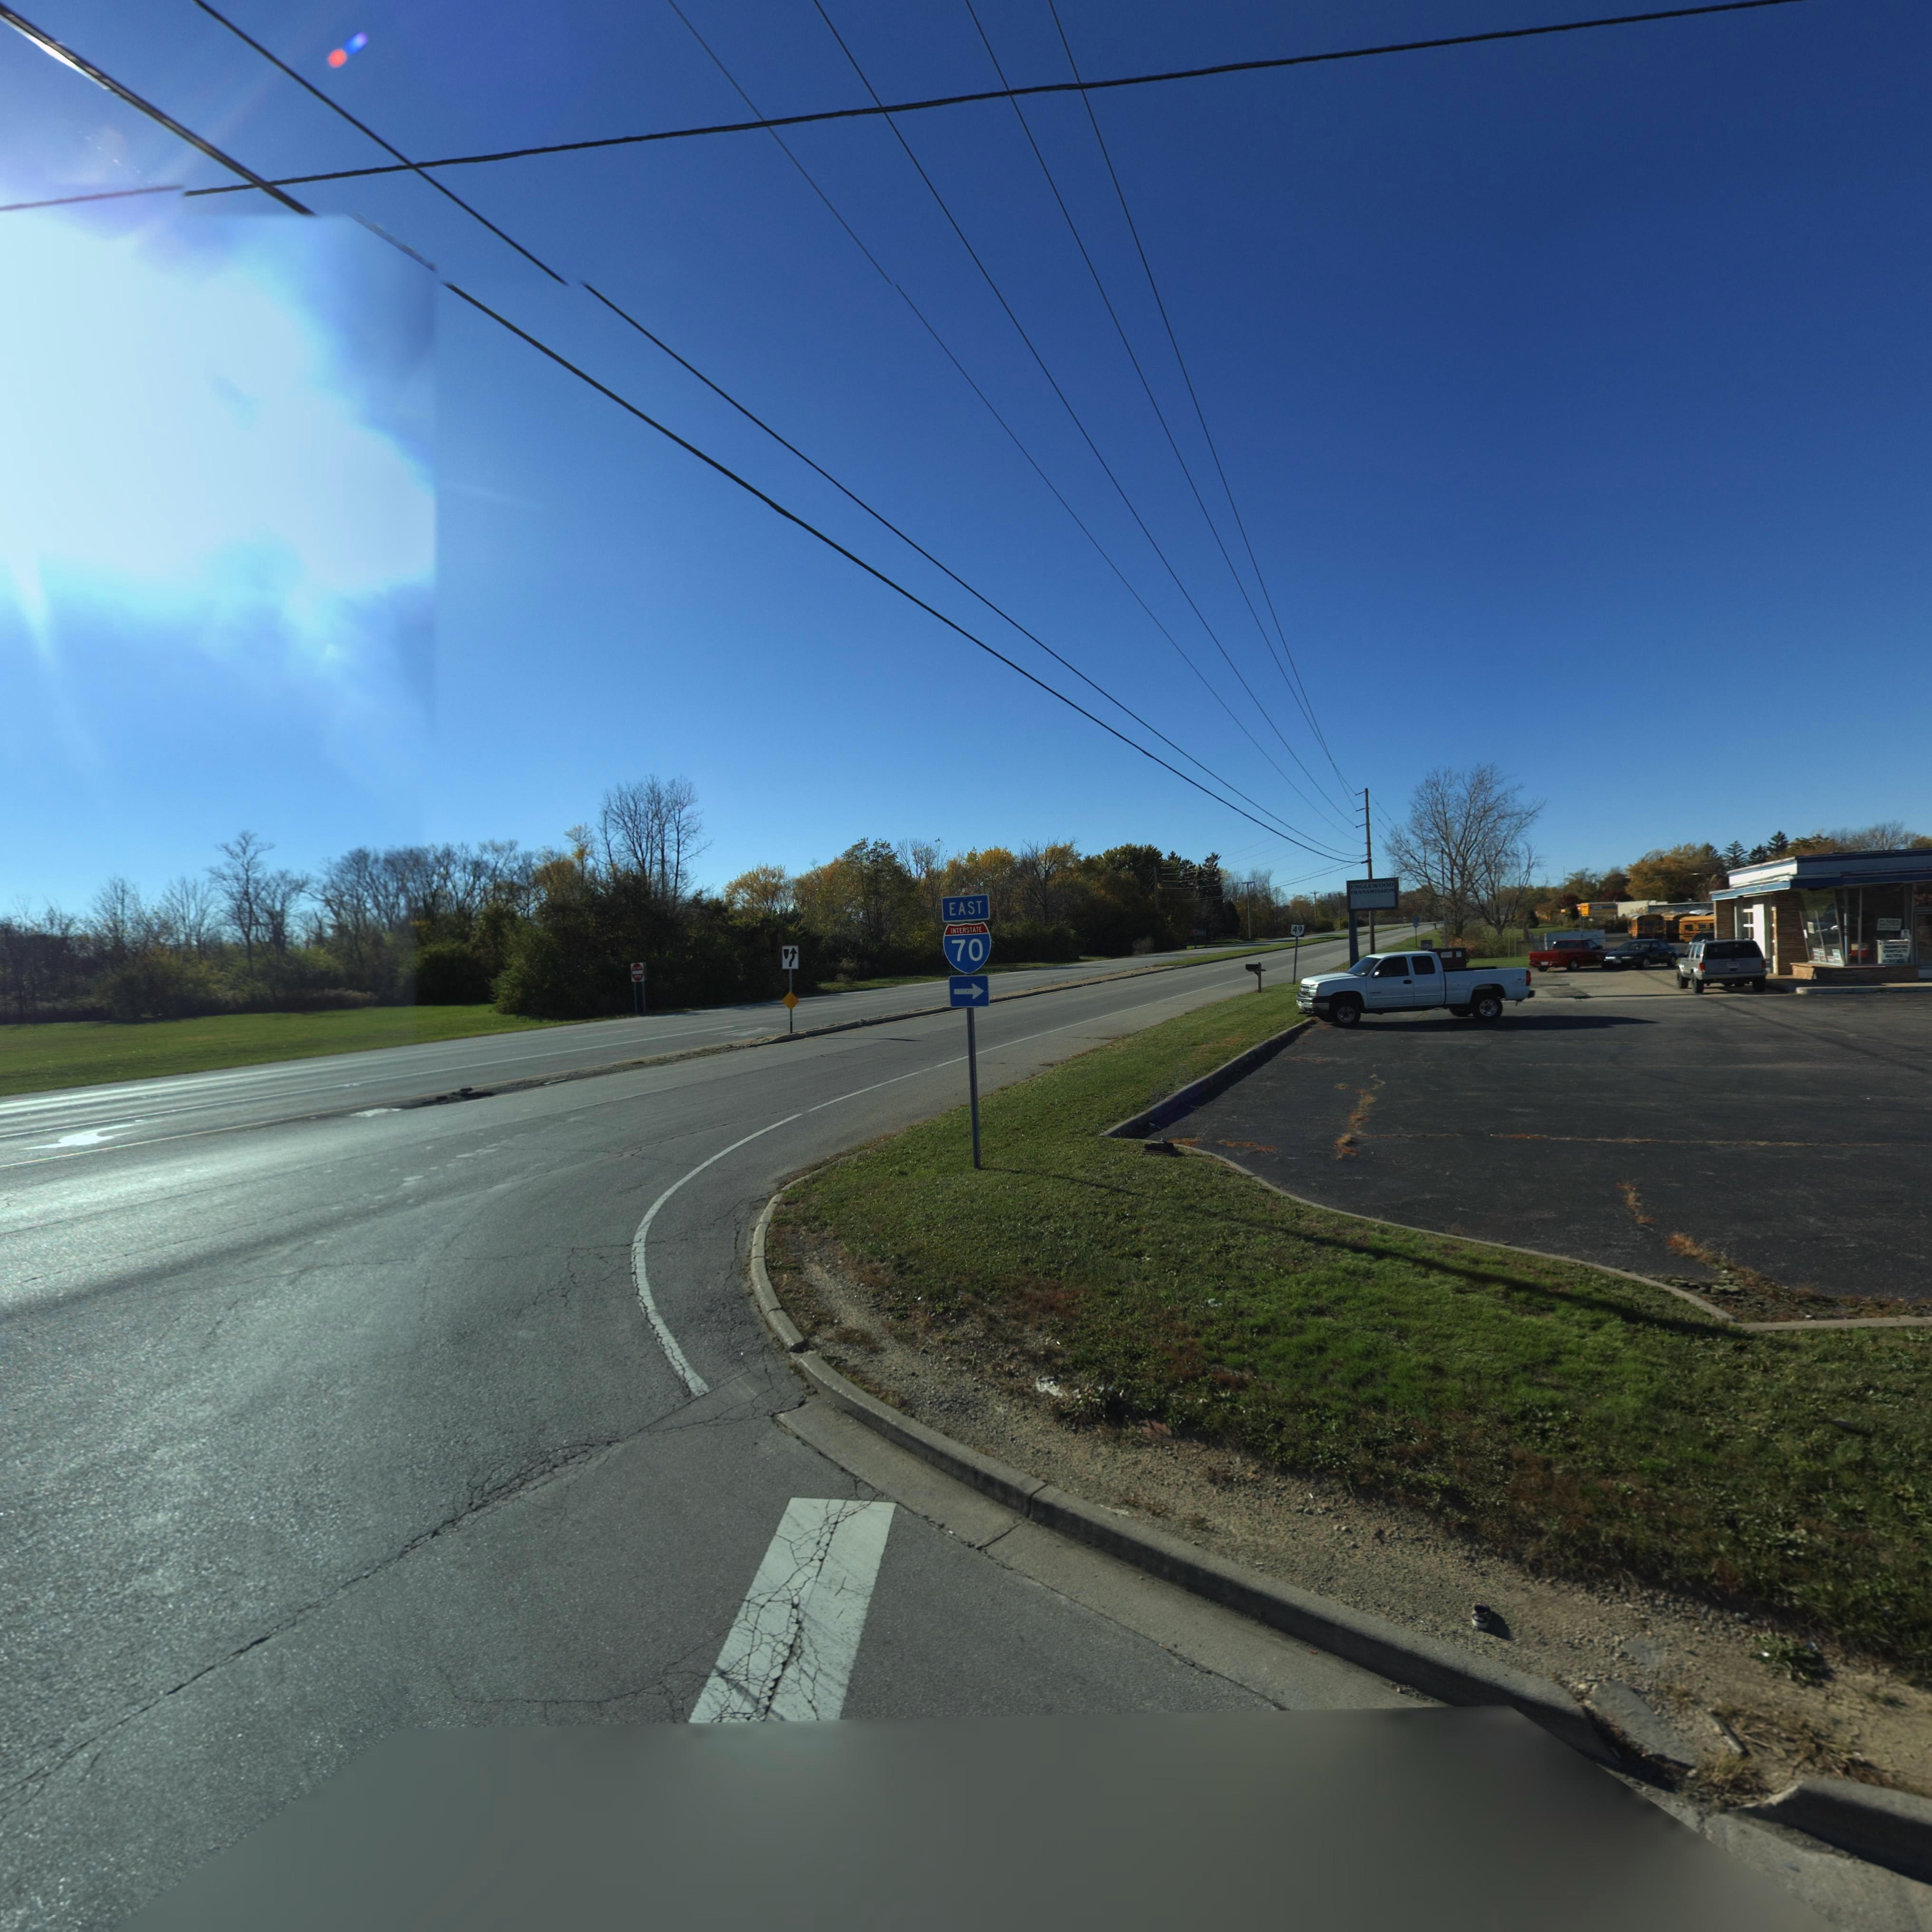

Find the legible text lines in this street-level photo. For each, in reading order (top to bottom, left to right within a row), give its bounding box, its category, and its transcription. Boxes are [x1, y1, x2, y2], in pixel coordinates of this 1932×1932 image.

[1754, 884, 1764, 892] StreetNumber: 7***